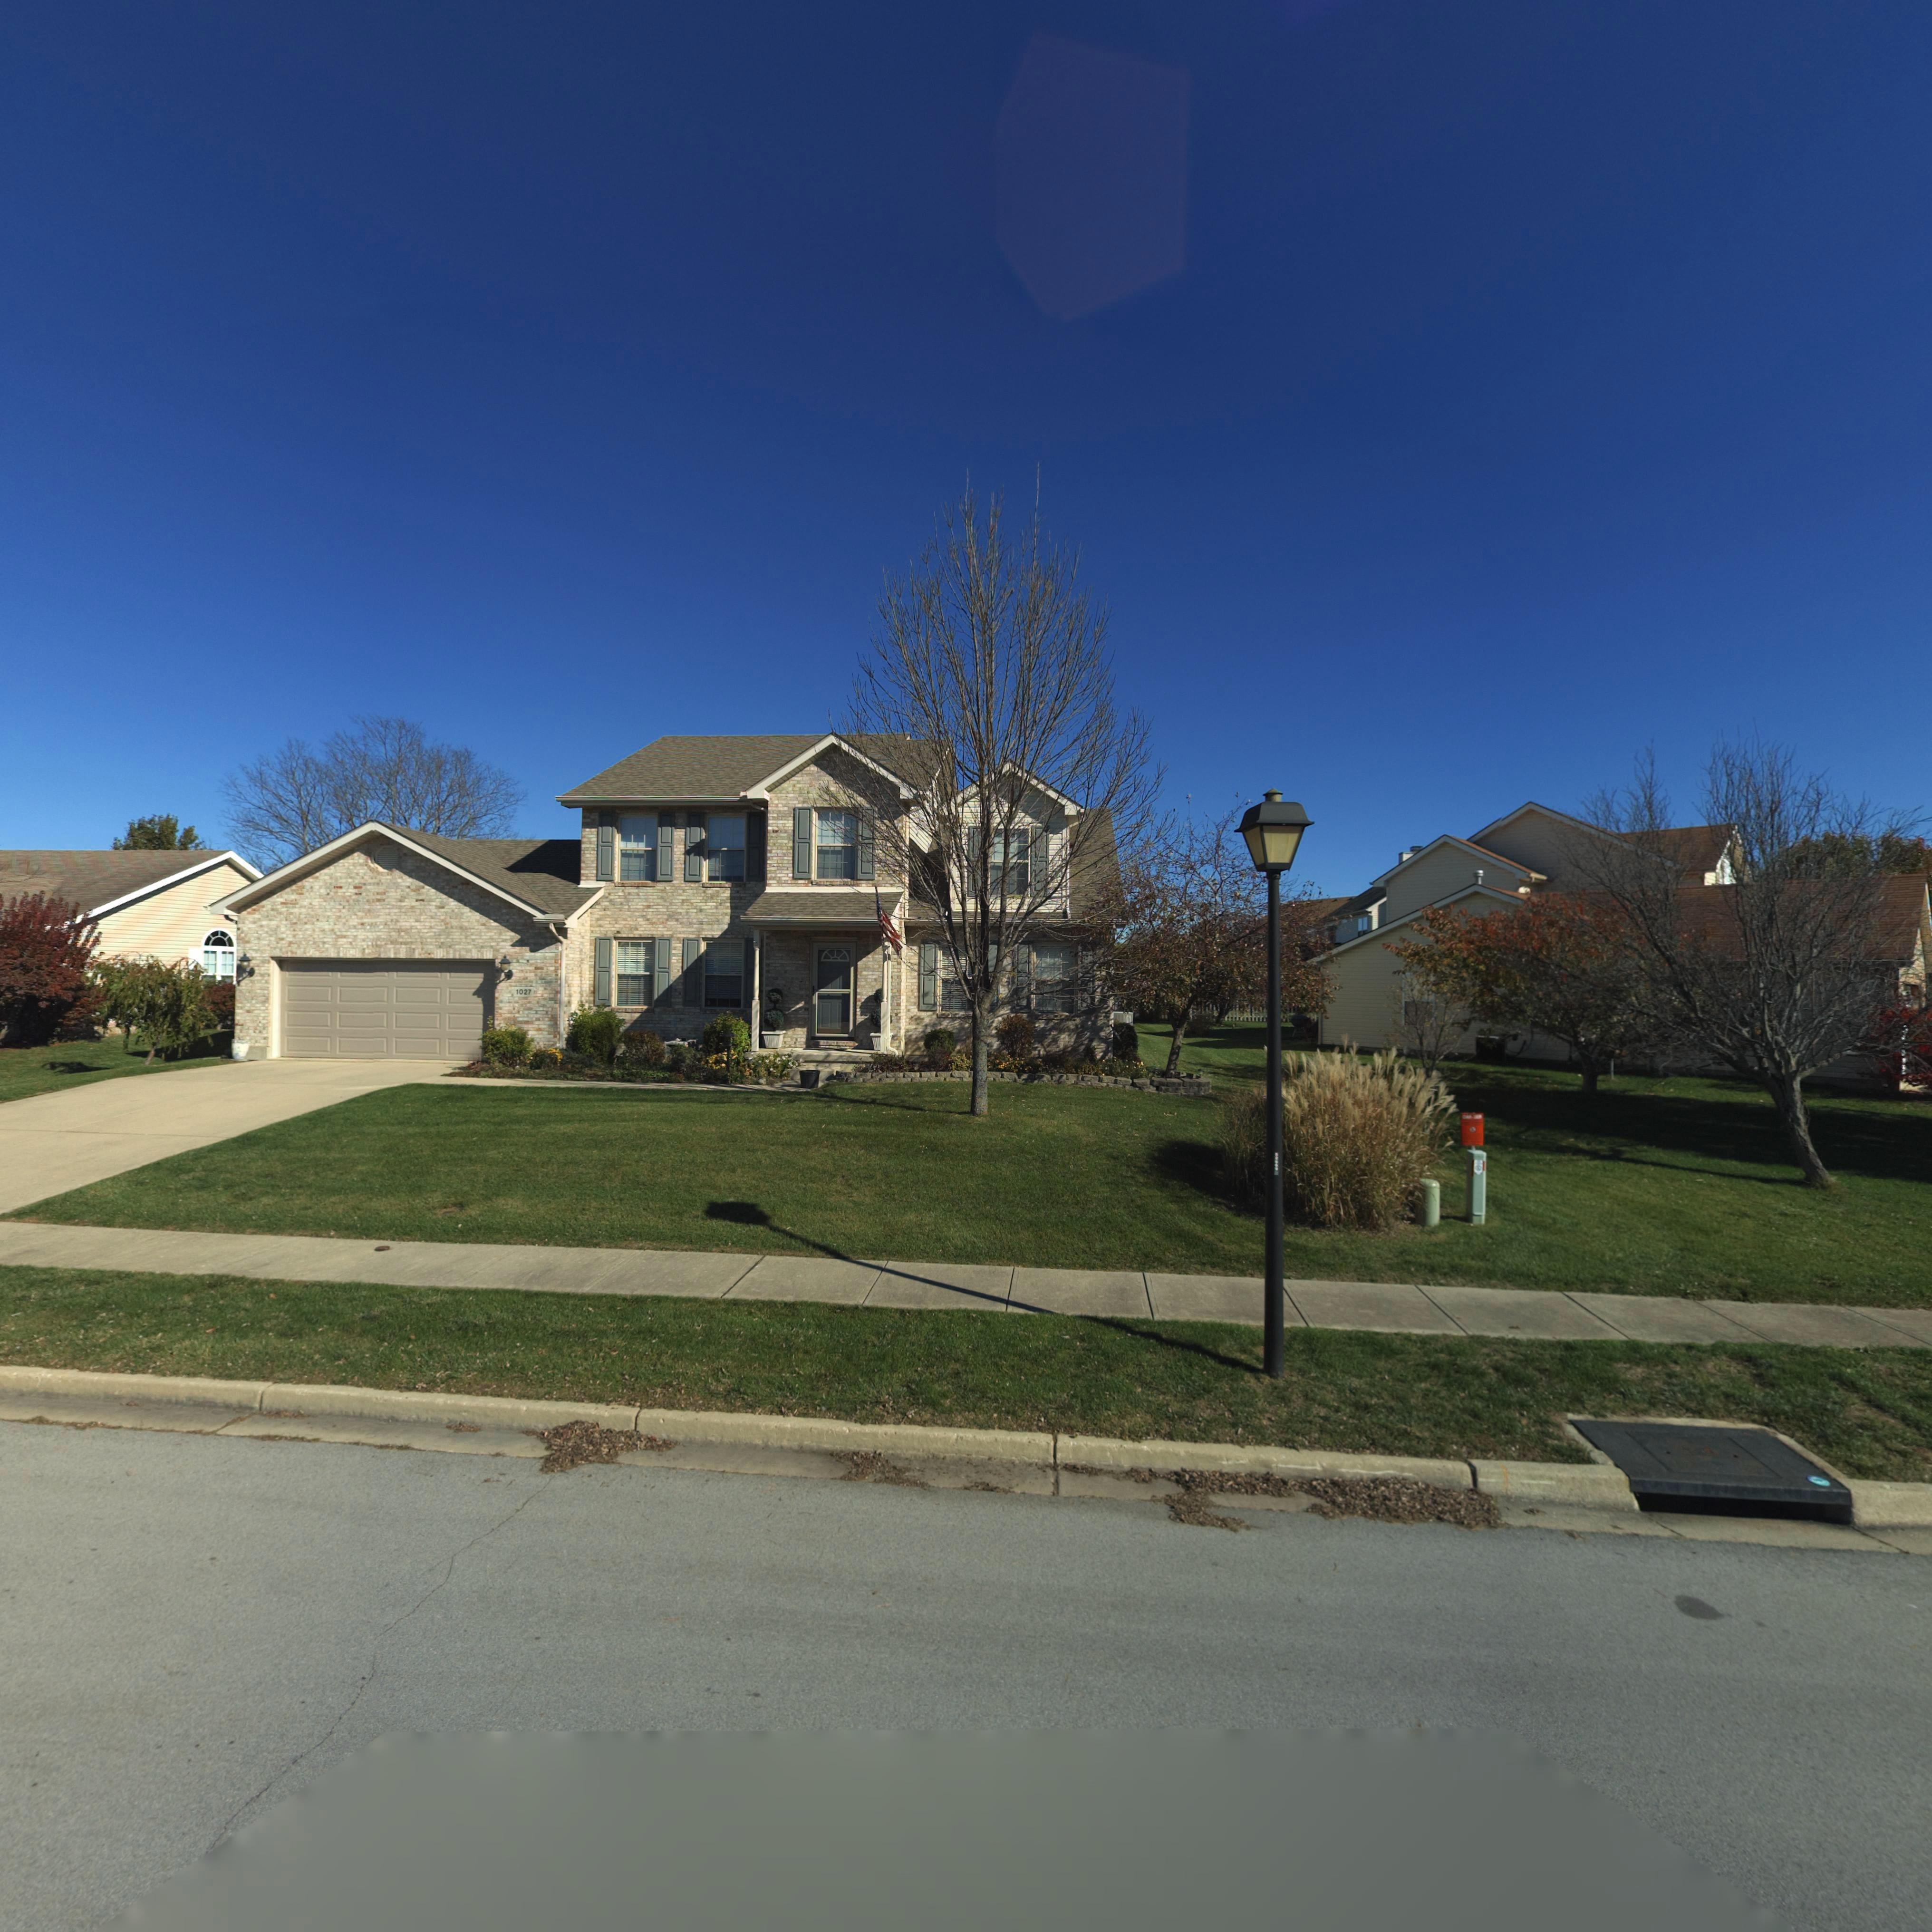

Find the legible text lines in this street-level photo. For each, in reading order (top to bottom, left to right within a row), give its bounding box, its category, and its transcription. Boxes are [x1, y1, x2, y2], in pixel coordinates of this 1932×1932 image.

[515, 988, 533, 996] StreetNumber: 1027